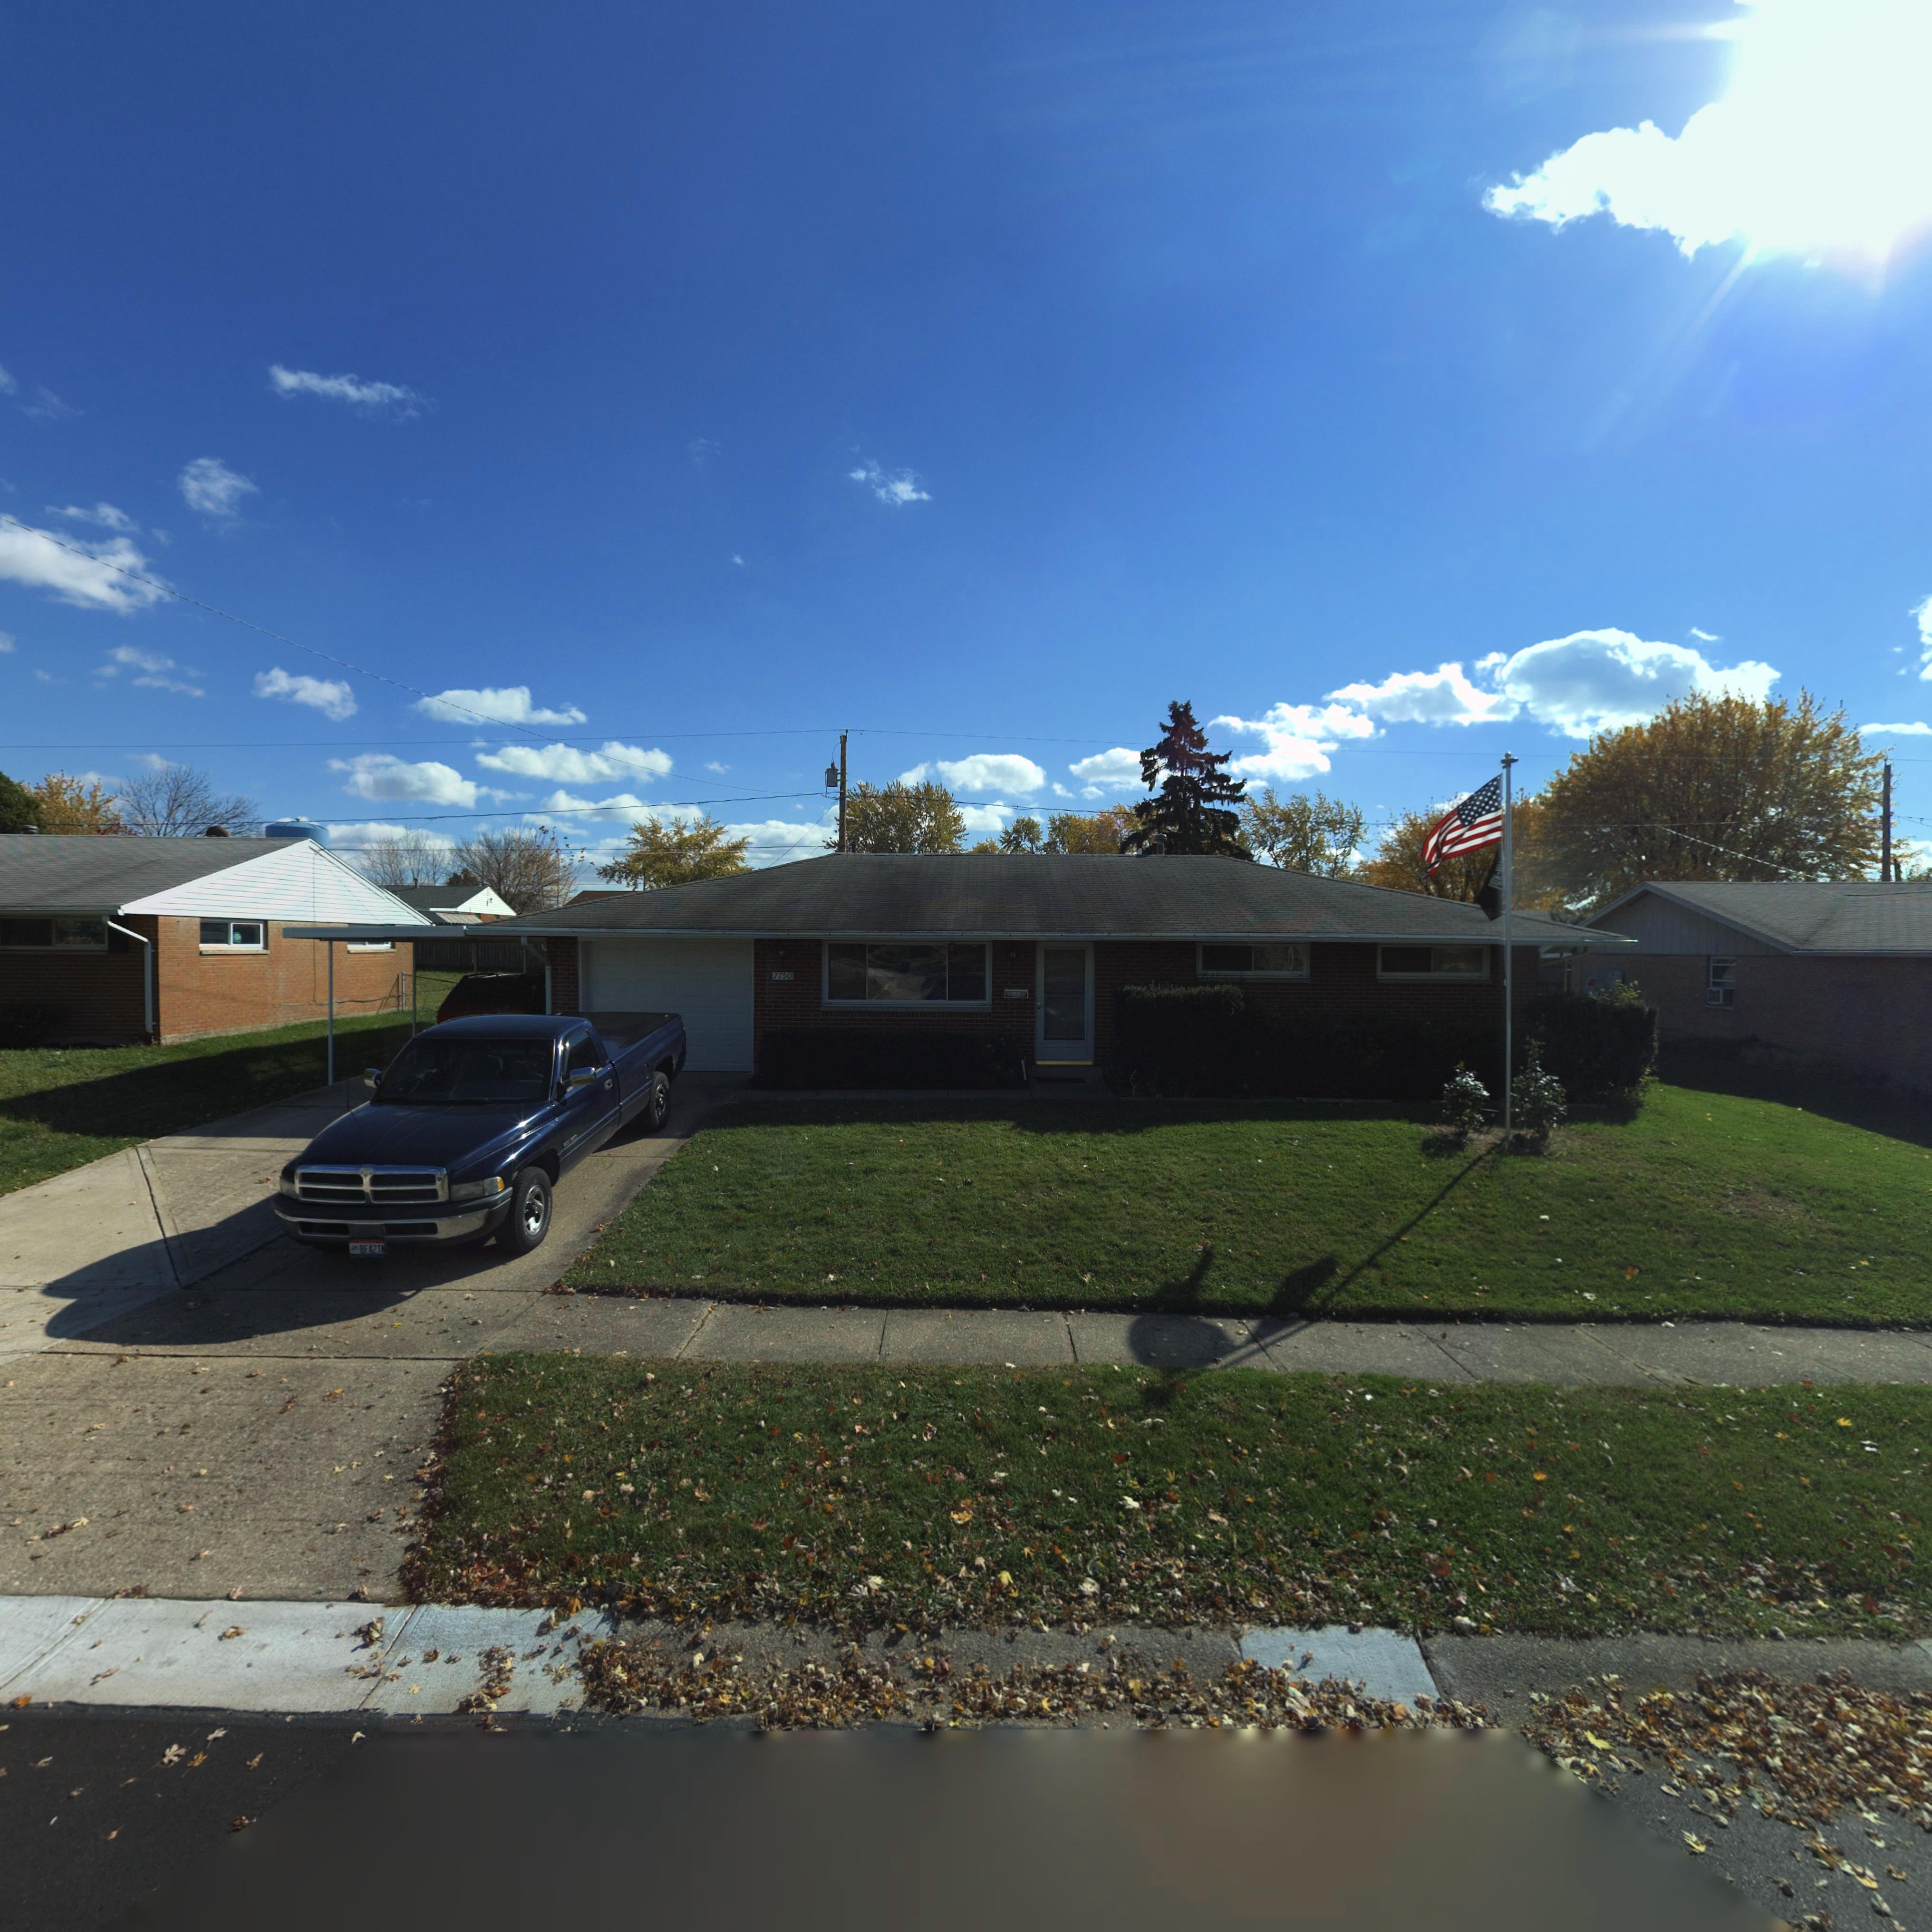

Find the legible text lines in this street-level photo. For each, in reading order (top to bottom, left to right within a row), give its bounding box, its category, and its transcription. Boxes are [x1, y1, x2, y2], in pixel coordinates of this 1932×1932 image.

[773, 972, 792, 979] StreetNumber: 7790